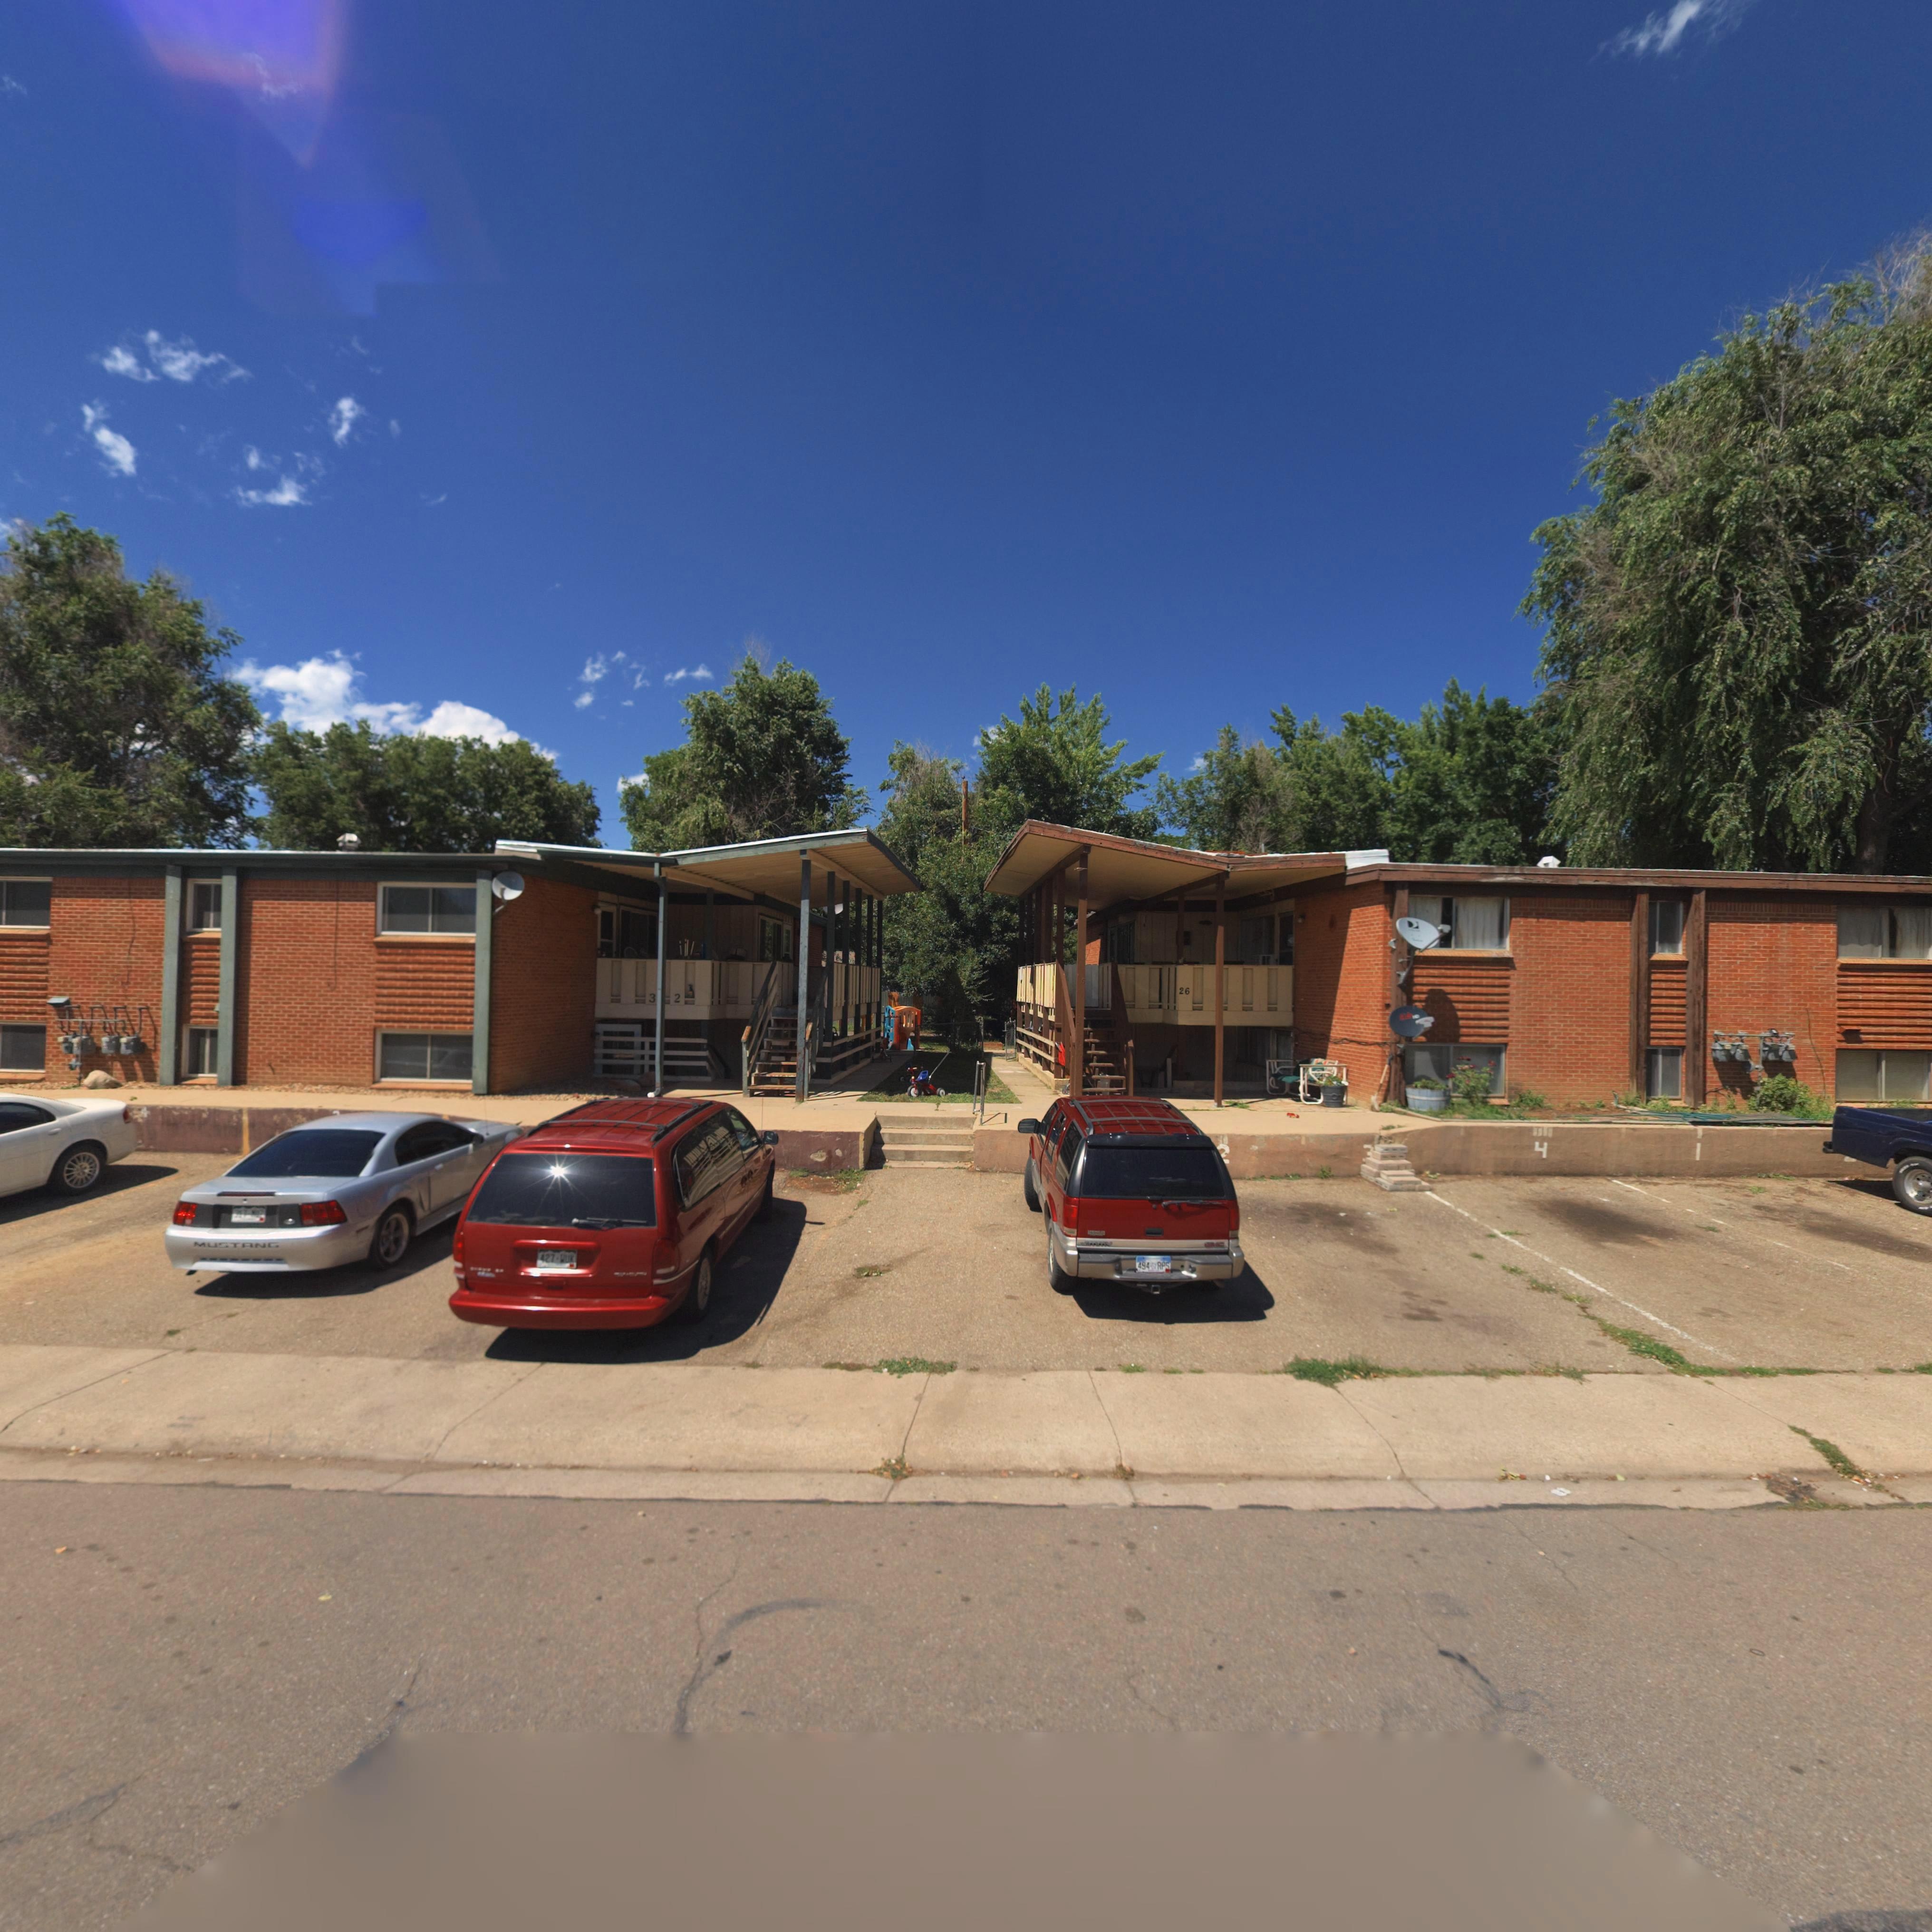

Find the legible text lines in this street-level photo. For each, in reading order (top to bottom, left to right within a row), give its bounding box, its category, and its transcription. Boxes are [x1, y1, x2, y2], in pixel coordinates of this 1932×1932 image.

[1179, 986, 1189, 995] StreetNumber: 26
[648, 993, 680, 1003] StreetNumber: 3 2